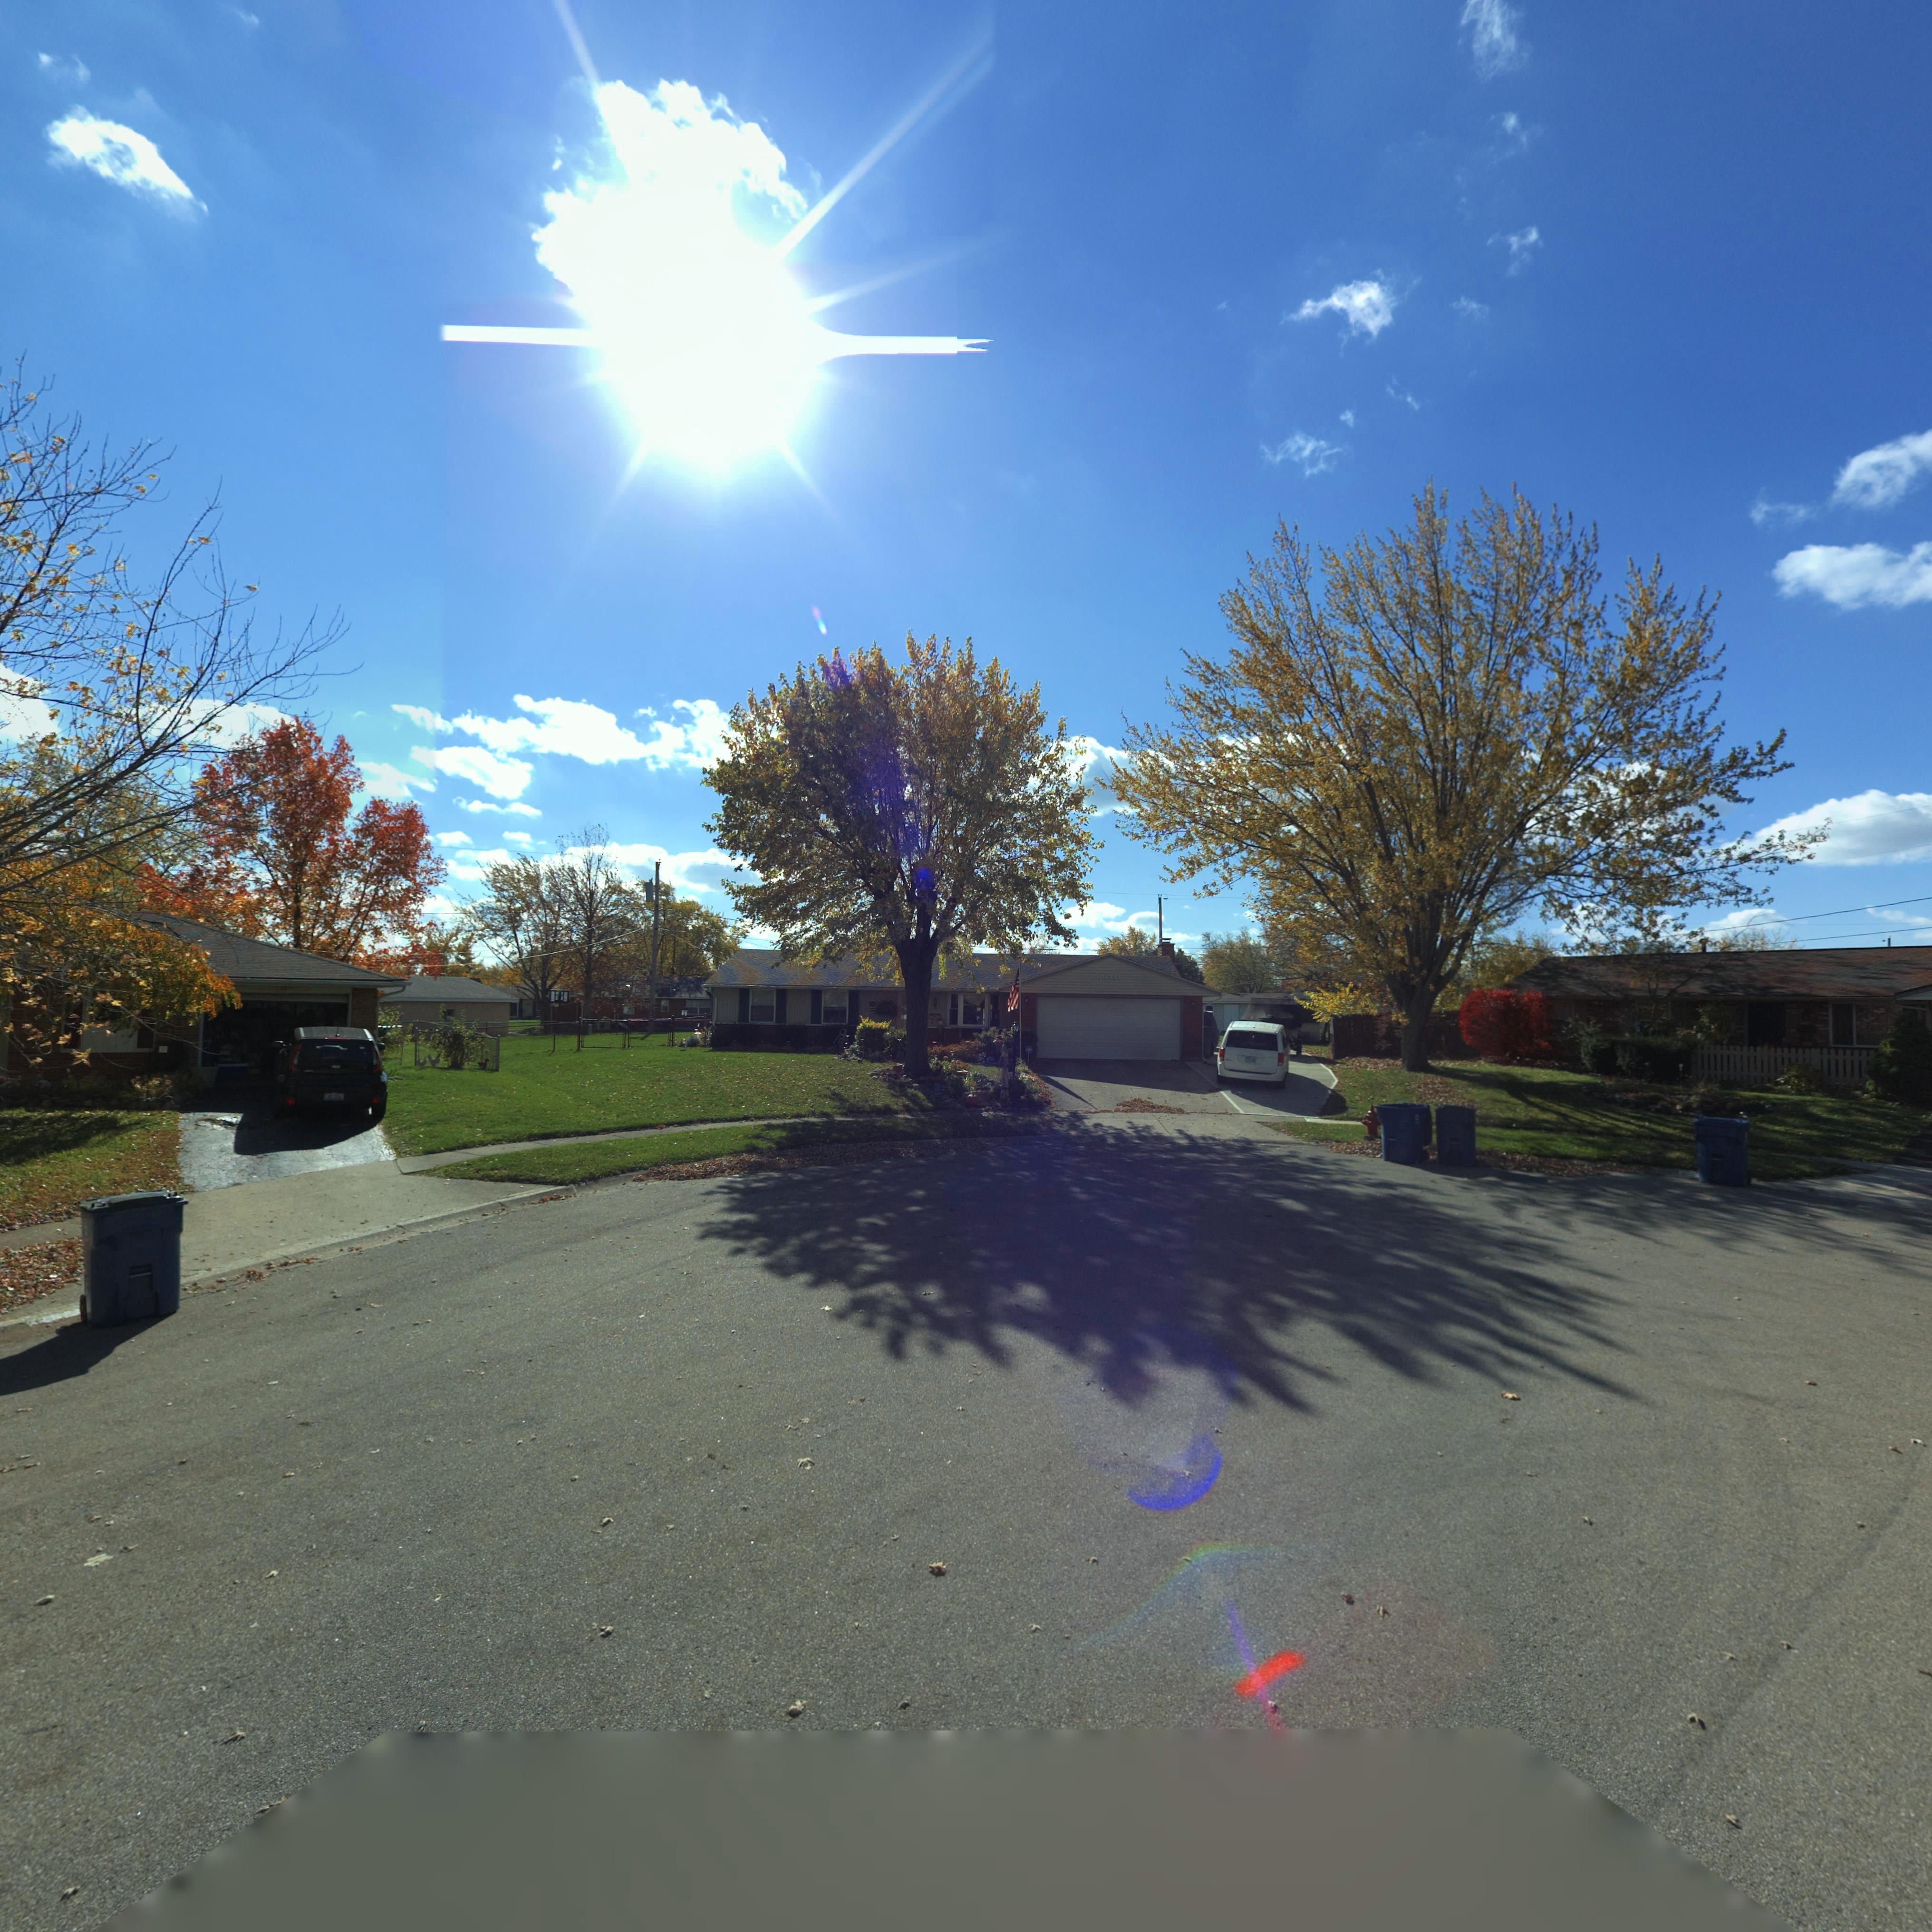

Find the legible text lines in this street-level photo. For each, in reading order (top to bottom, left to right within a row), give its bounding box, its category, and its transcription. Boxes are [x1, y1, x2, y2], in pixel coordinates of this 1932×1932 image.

[1096, 973, 1121, 980] StreetNumber: 6640